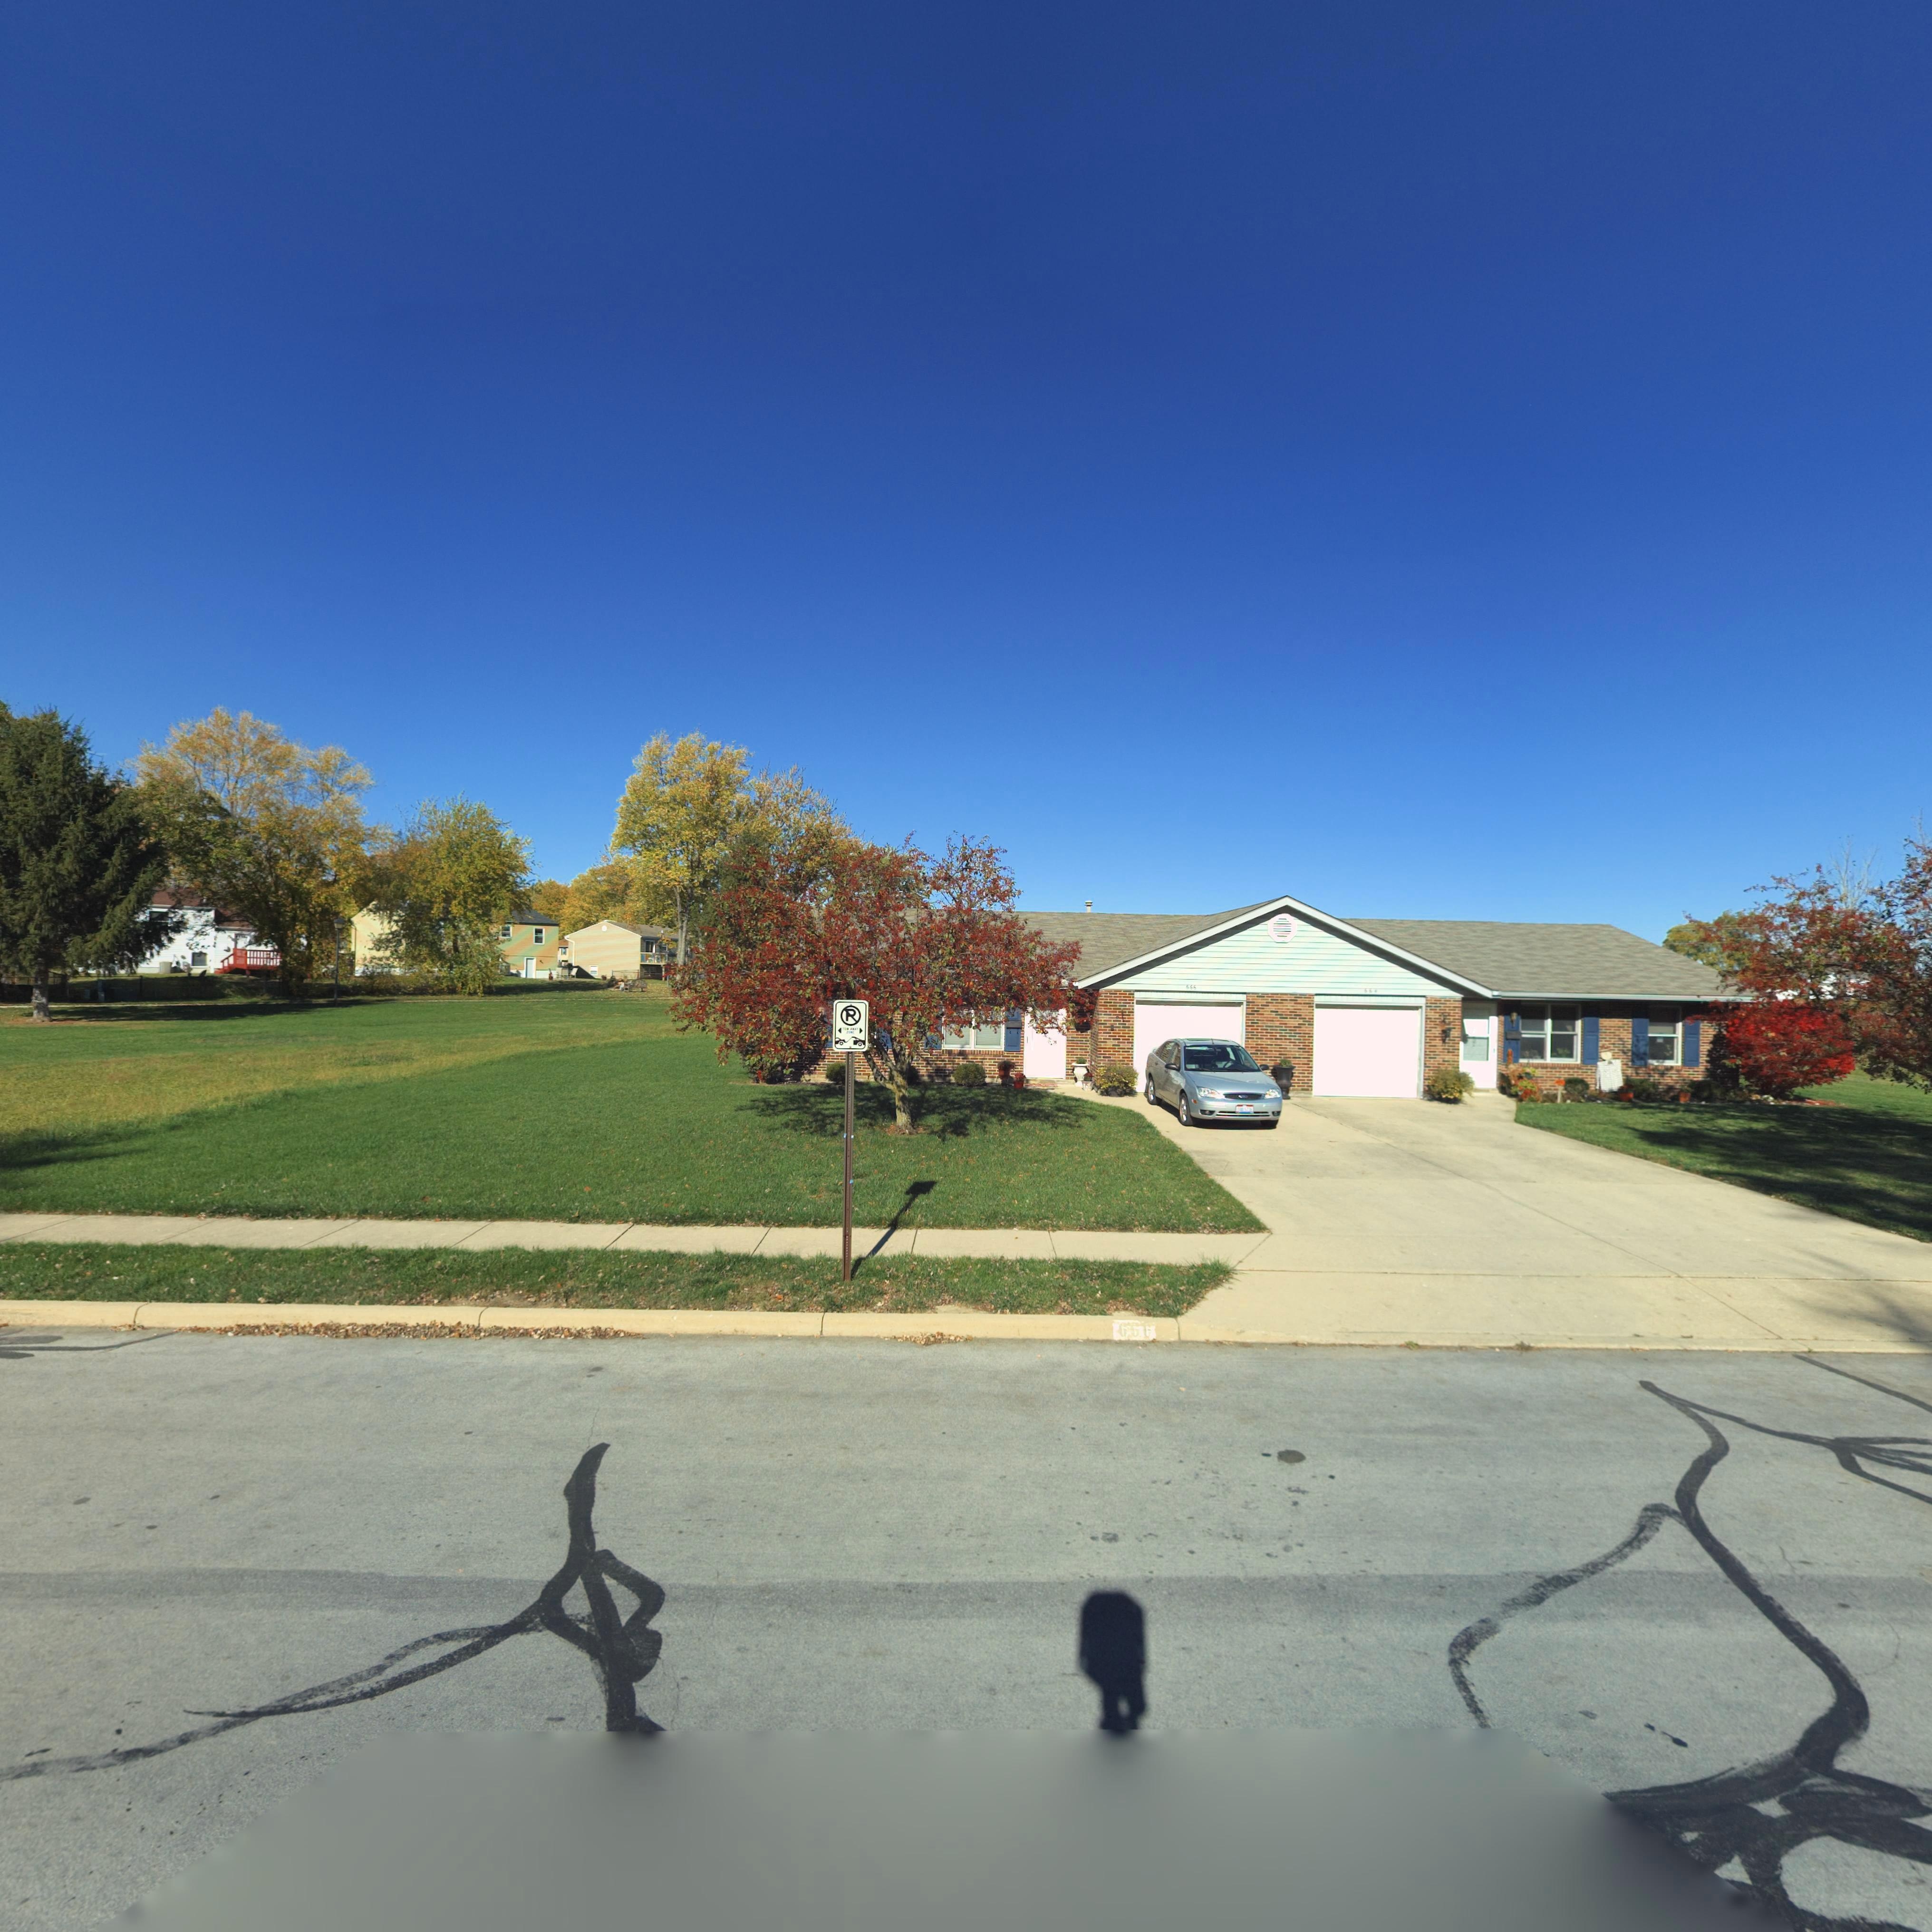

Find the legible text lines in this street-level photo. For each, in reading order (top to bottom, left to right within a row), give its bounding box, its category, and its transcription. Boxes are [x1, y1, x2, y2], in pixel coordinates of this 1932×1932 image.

[1185, 984, 1197, 990] StreetNumber: 666
[1363, 987, 1378, 994] StreetNumber: 664
[1118, 1322, 1152, 1338] StreetNumber: 666